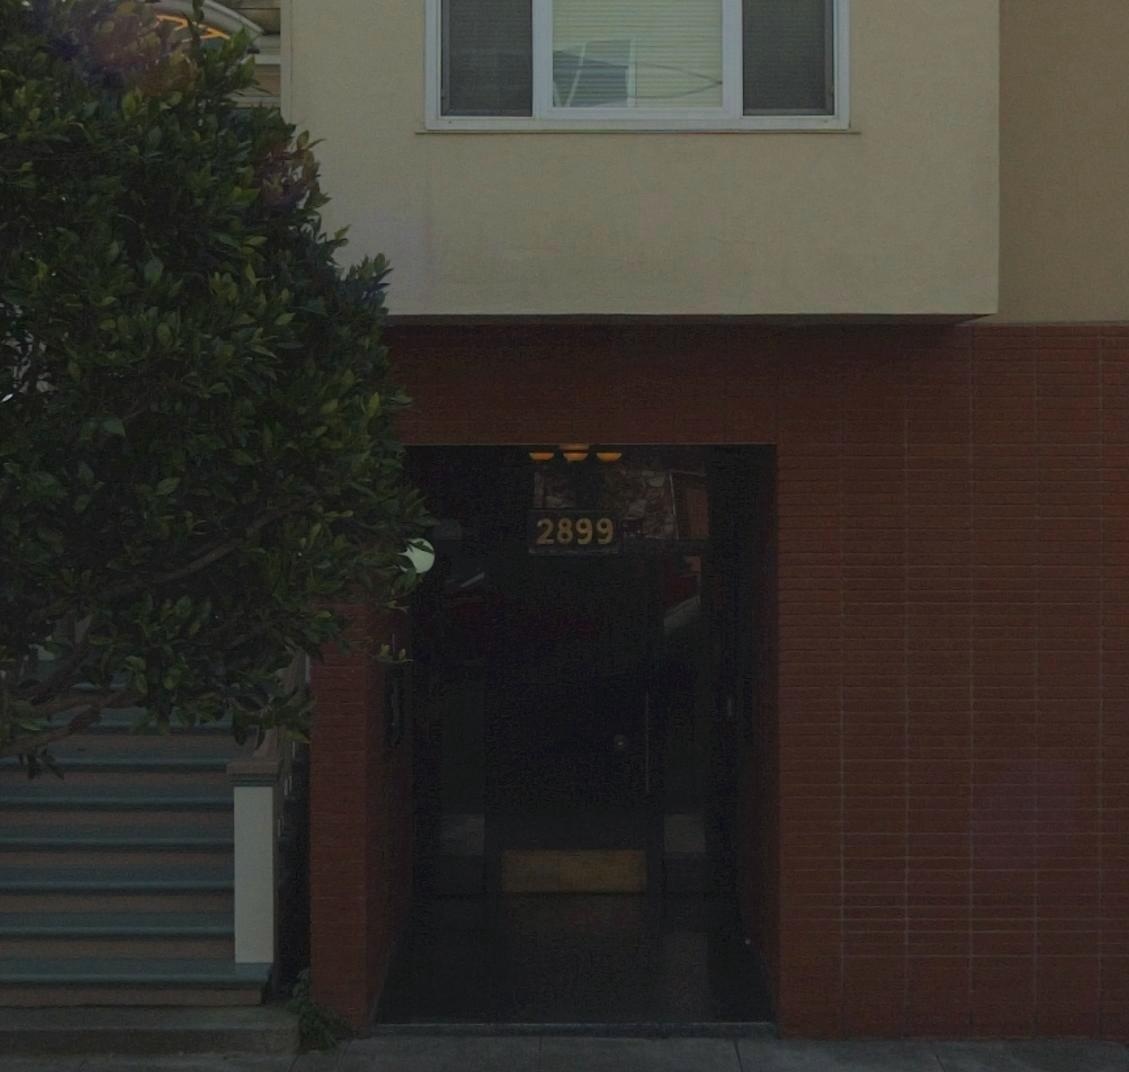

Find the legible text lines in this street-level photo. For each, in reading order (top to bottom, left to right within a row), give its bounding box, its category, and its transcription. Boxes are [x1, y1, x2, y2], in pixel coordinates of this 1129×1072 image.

[500, 500, 629, 572] StreetNumber: 2899